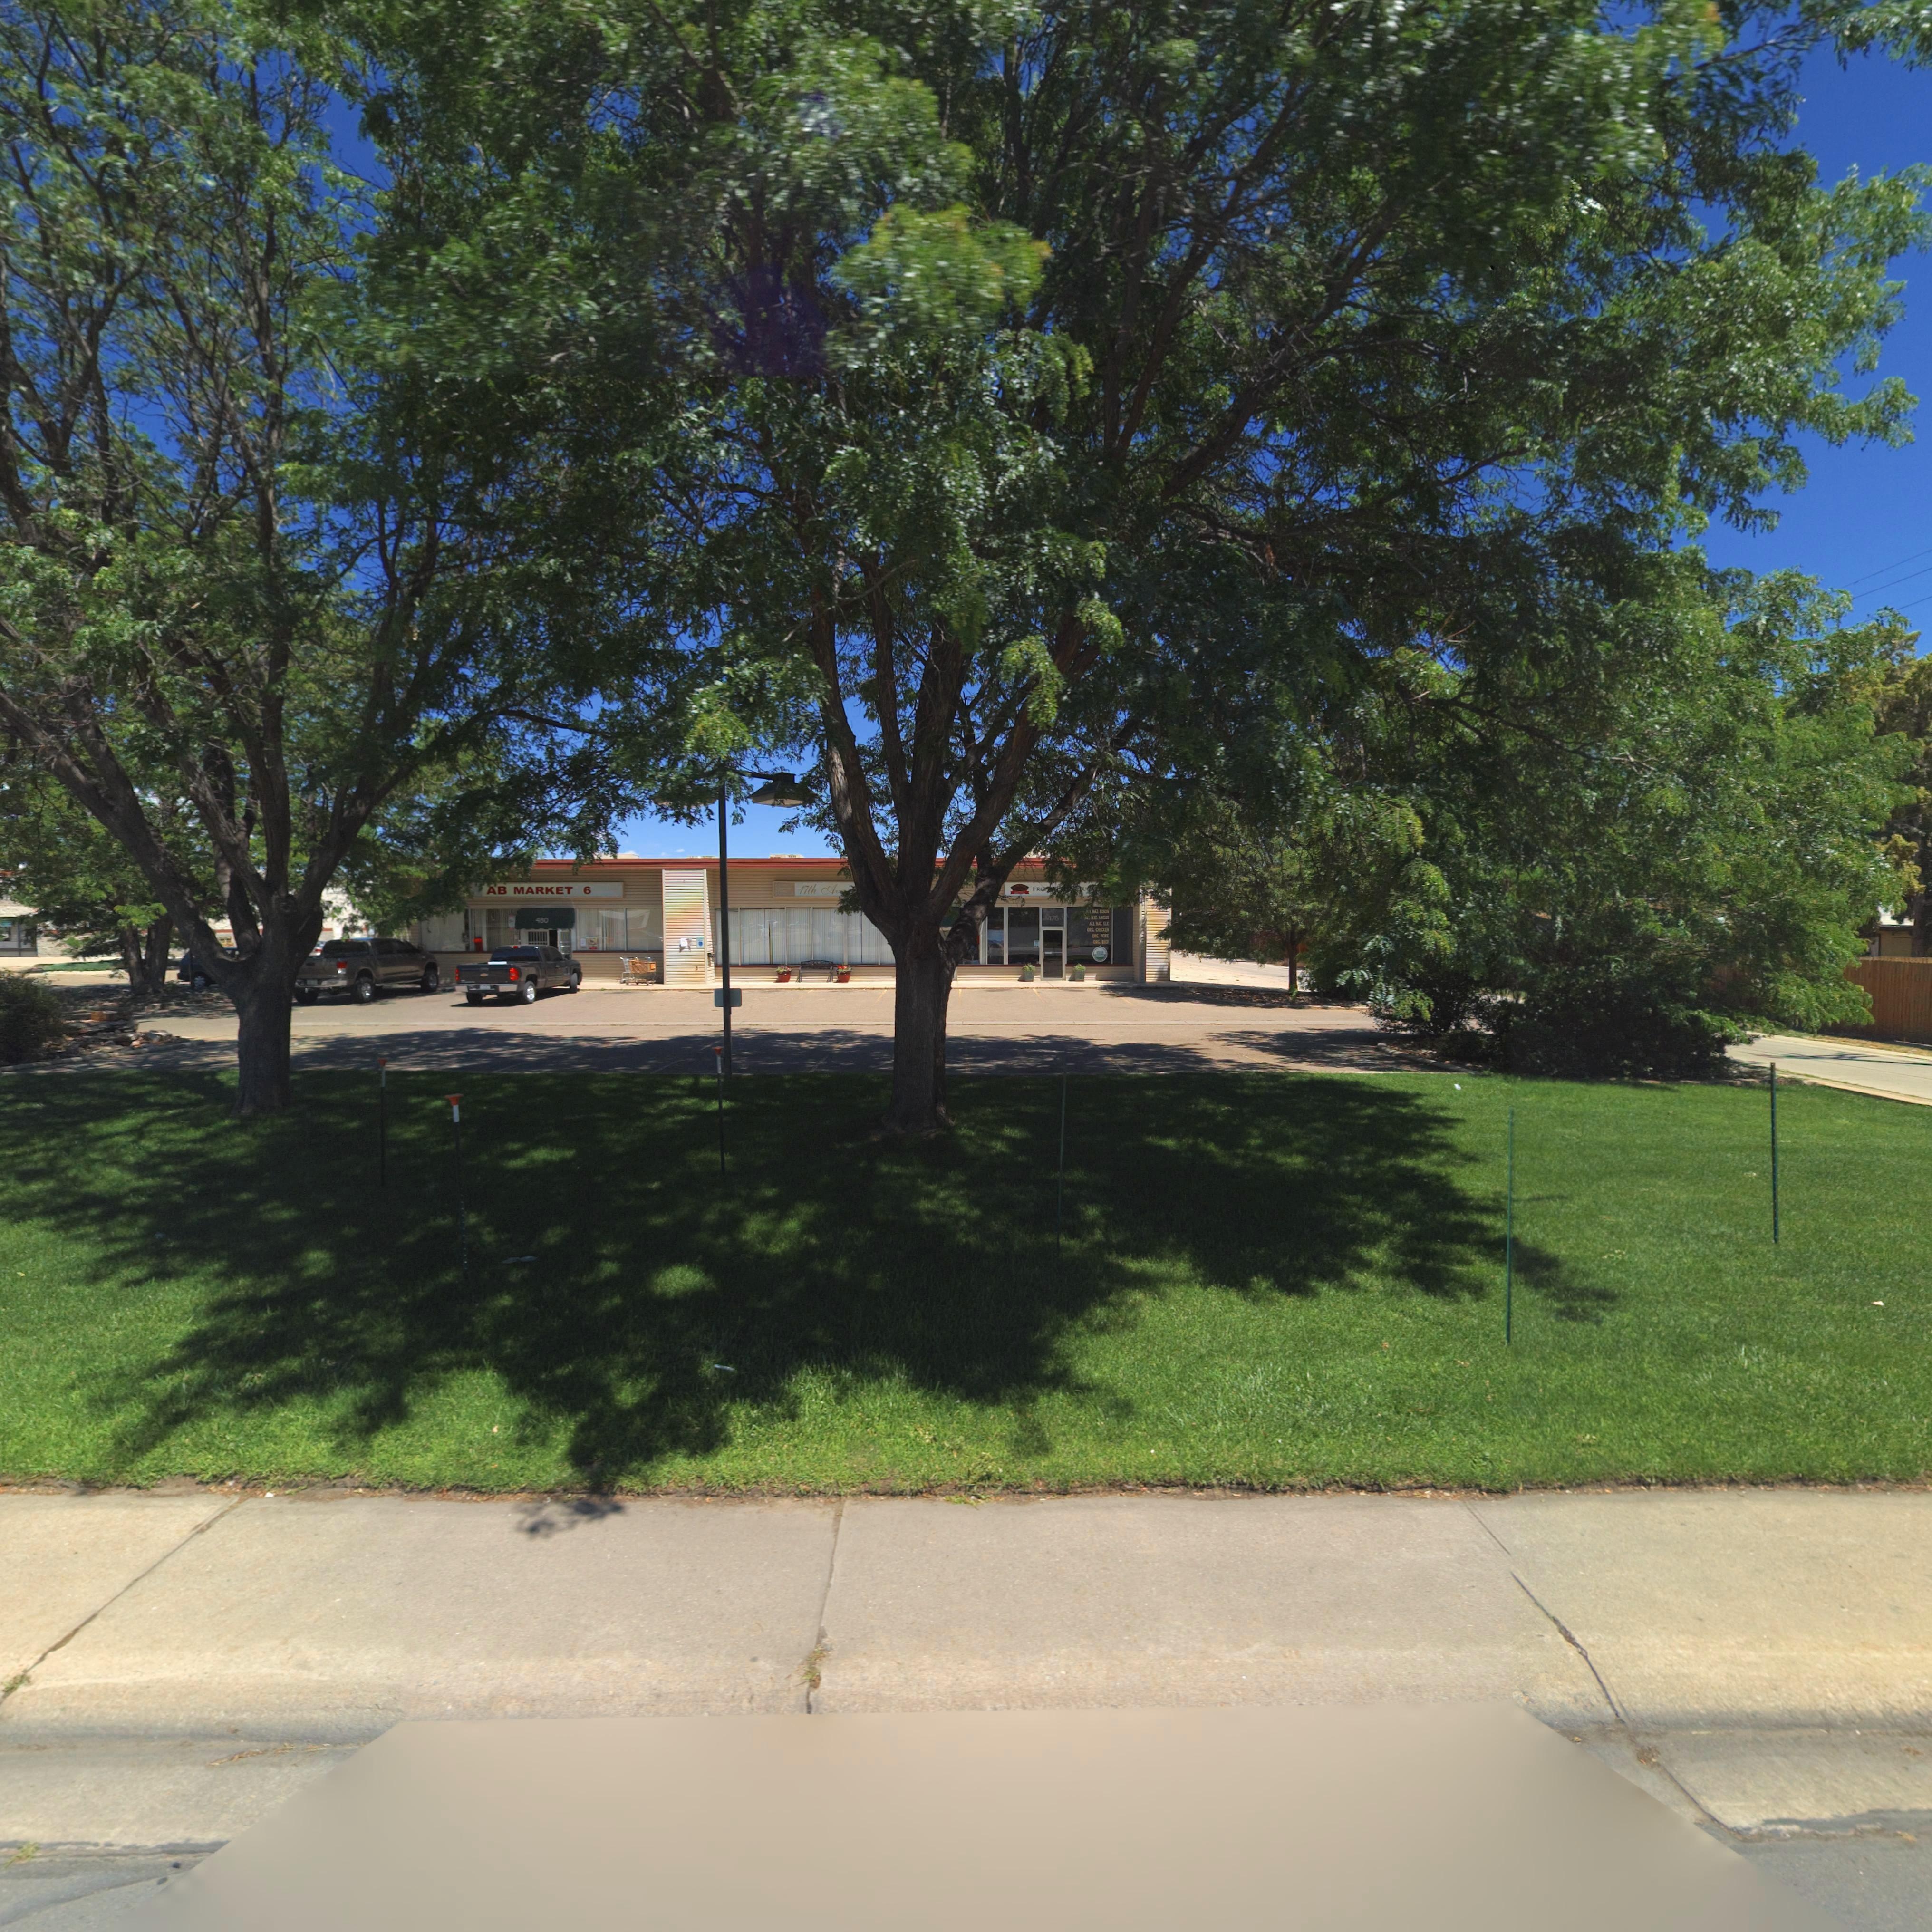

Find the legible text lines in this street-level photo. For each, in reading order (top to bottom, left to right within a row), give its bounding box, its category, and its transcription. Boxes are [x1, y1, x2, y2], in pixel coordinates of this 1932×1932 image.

[486, 885, 591, 895] BusinessName: AB MARKET 6
[1033, 886, 1046, 891] BusinessName: FR**
[535, 917, 549, 923] StreetNumber: 480
[1047, 915, 1059, 921] StreetNumber: 476